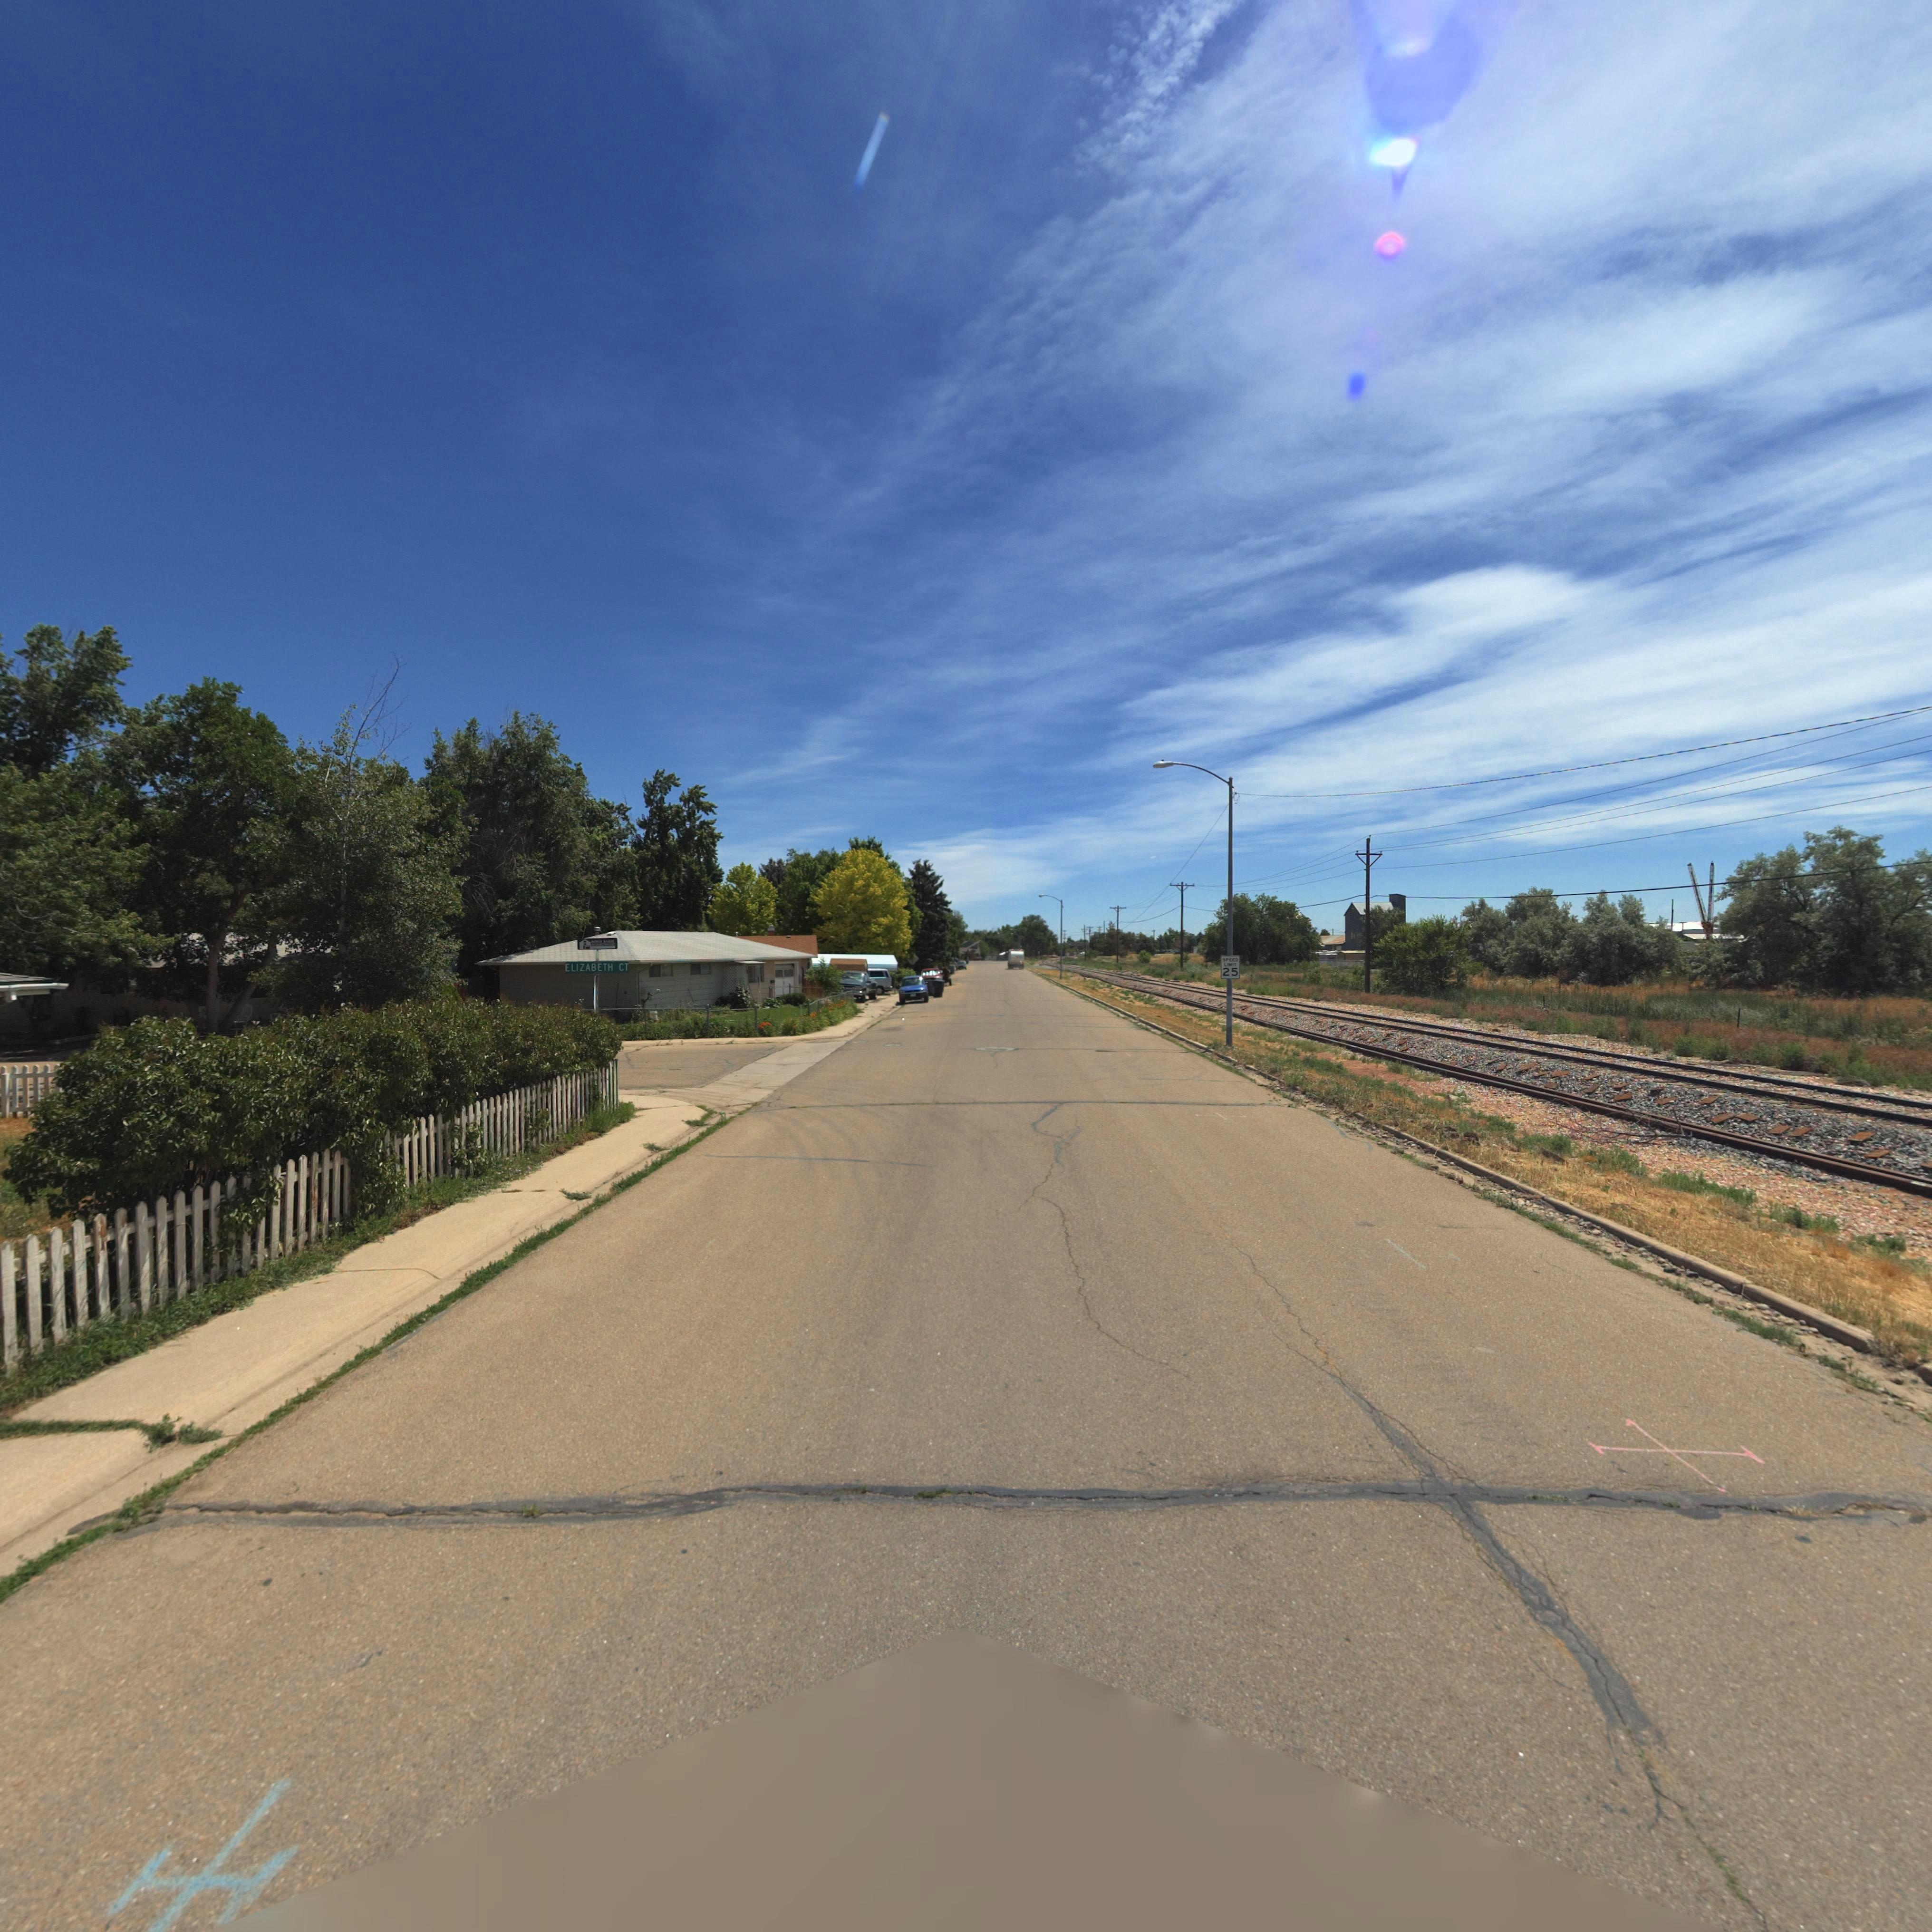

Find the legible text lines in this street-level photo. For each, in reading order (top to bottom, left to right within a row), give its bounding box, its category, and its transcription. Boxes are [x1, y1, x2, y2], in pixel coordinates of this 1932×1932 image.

[565, 963, 629, 972] StreetName: ELIZABETH CT